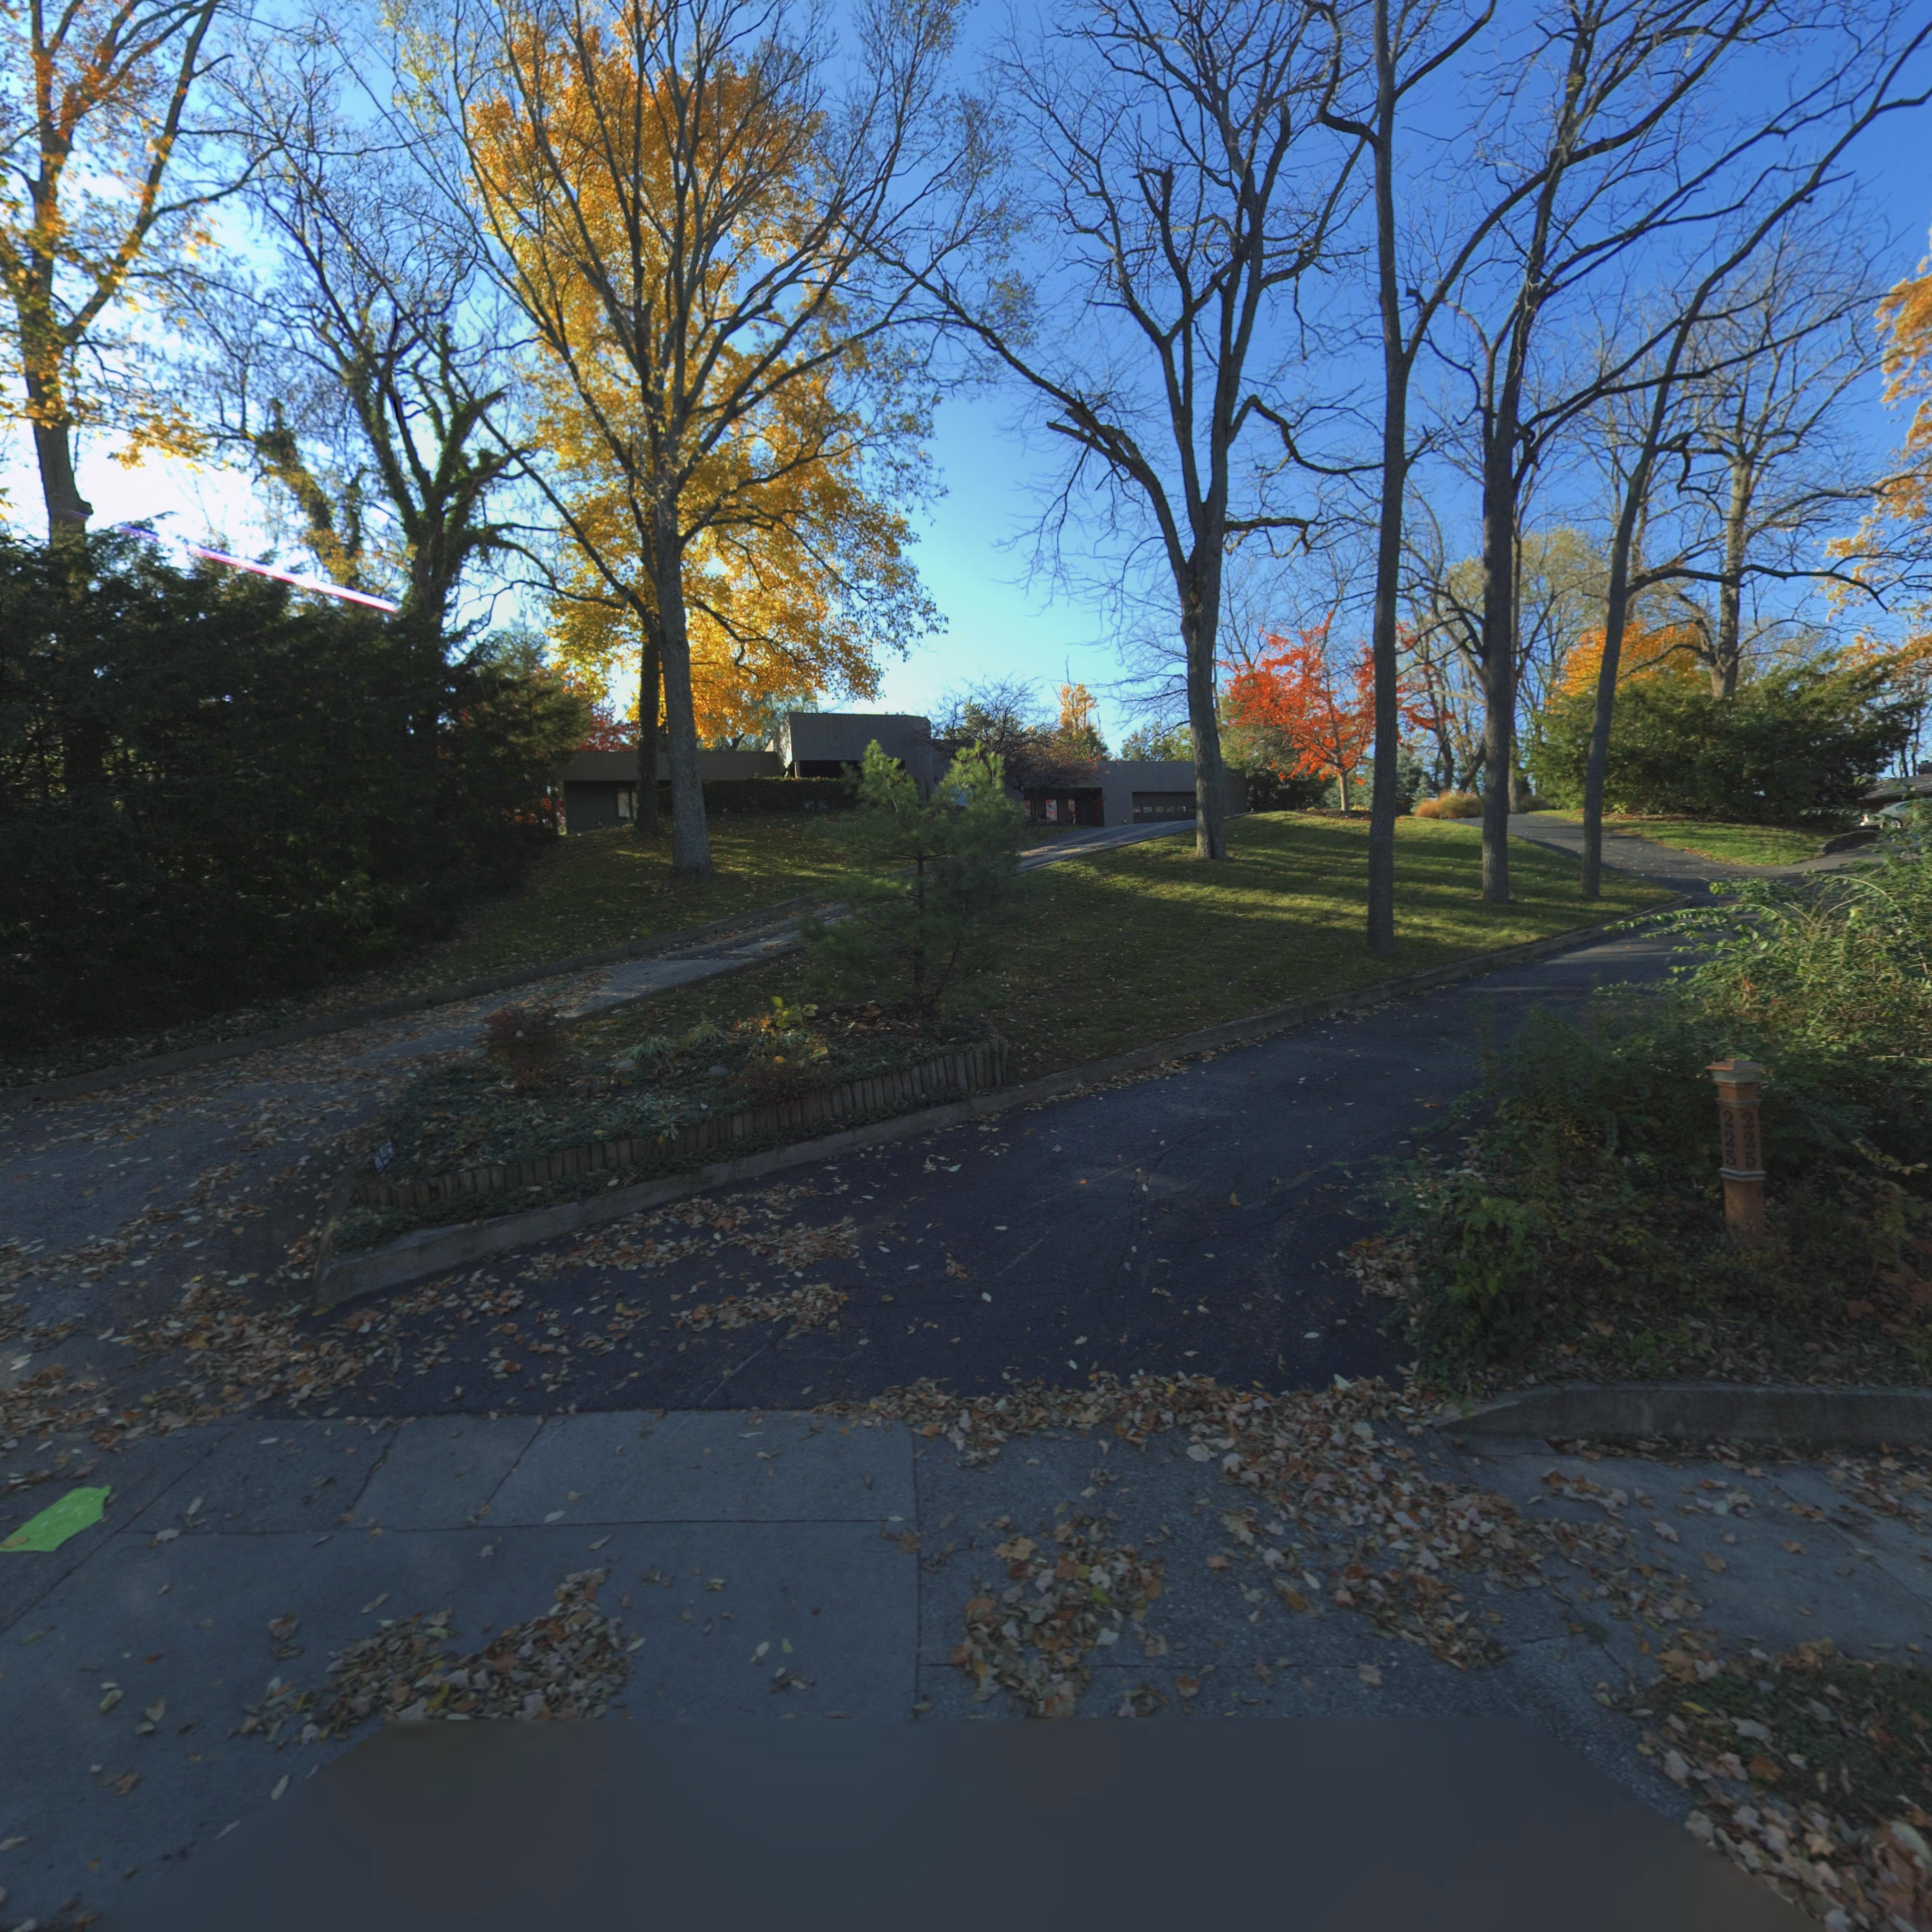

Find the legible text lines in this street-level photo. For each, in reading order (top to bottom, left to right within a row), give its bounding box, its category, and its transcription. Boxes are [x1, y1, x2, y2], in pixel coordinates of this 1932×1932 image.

[1720, 1107, 1739, 1168] StreetNumber: 225
[1739, 1108, 1760, 1170] StreetNumber: 225